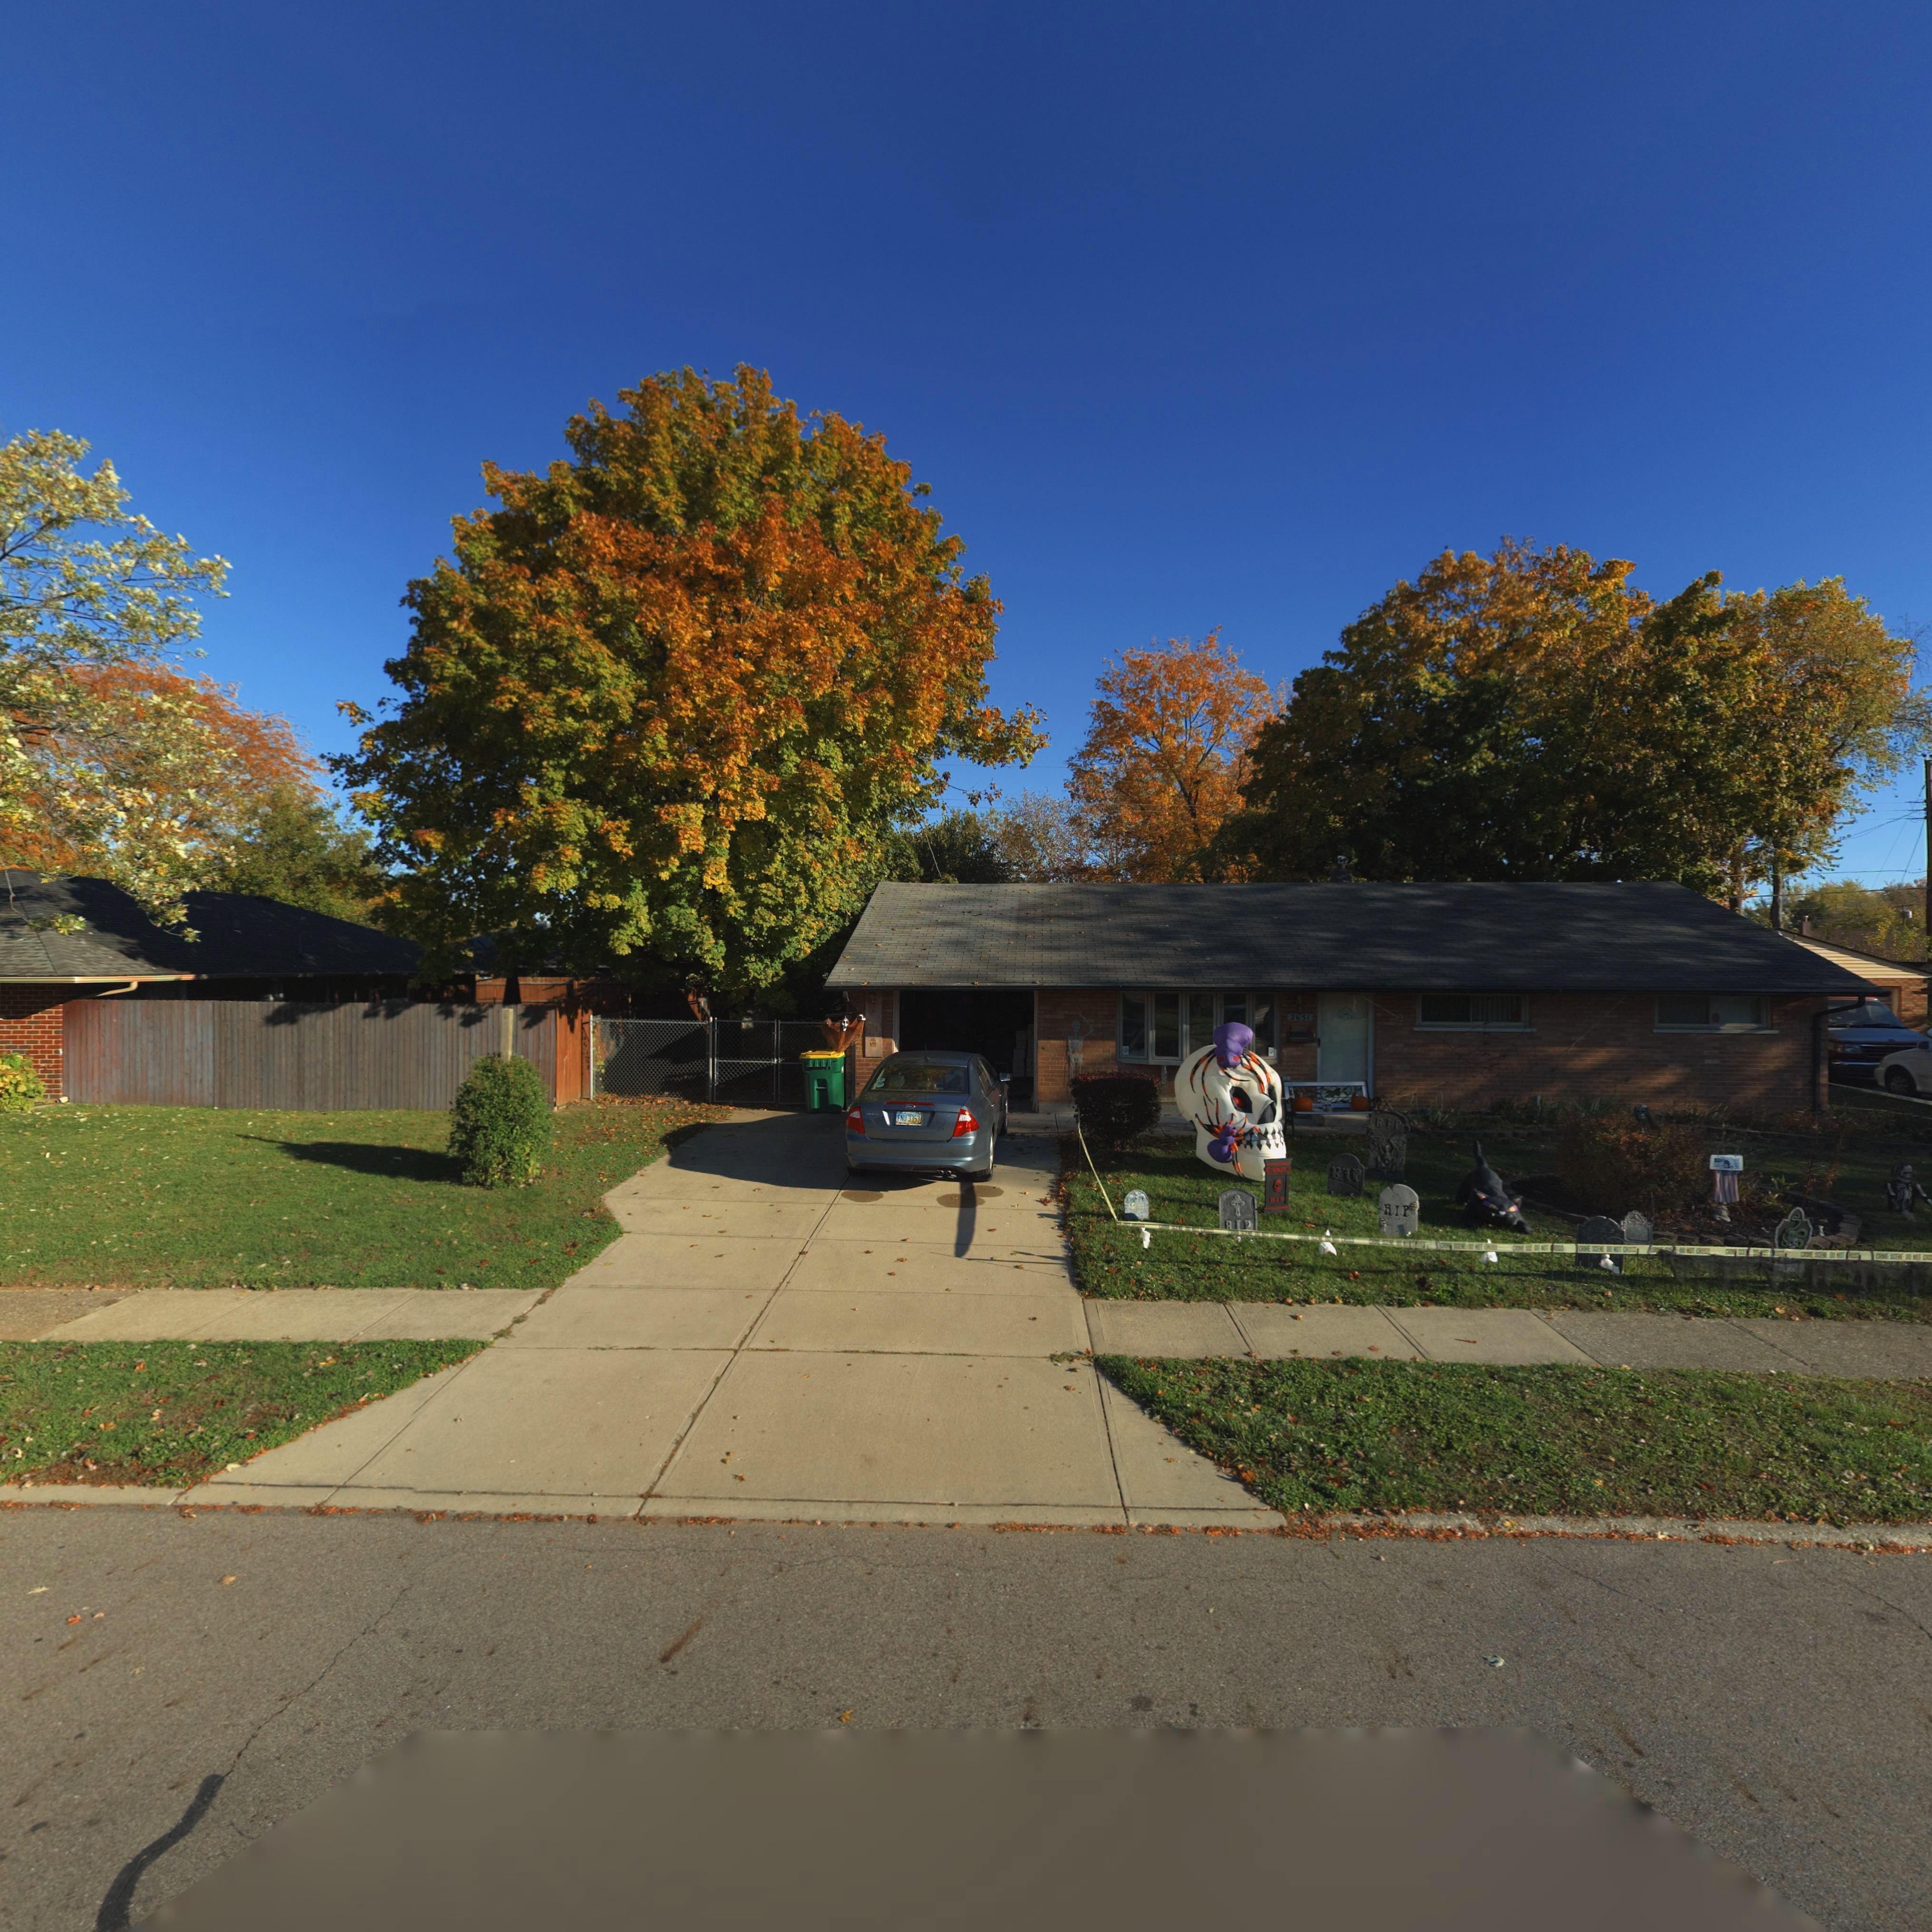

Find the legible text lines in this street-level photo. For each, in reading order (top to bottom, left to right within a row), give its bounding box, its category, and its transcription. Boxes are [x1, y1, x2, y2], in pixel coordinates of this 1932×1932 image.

[1289, 1013, 1311, 1022] StreetNumber: 2651